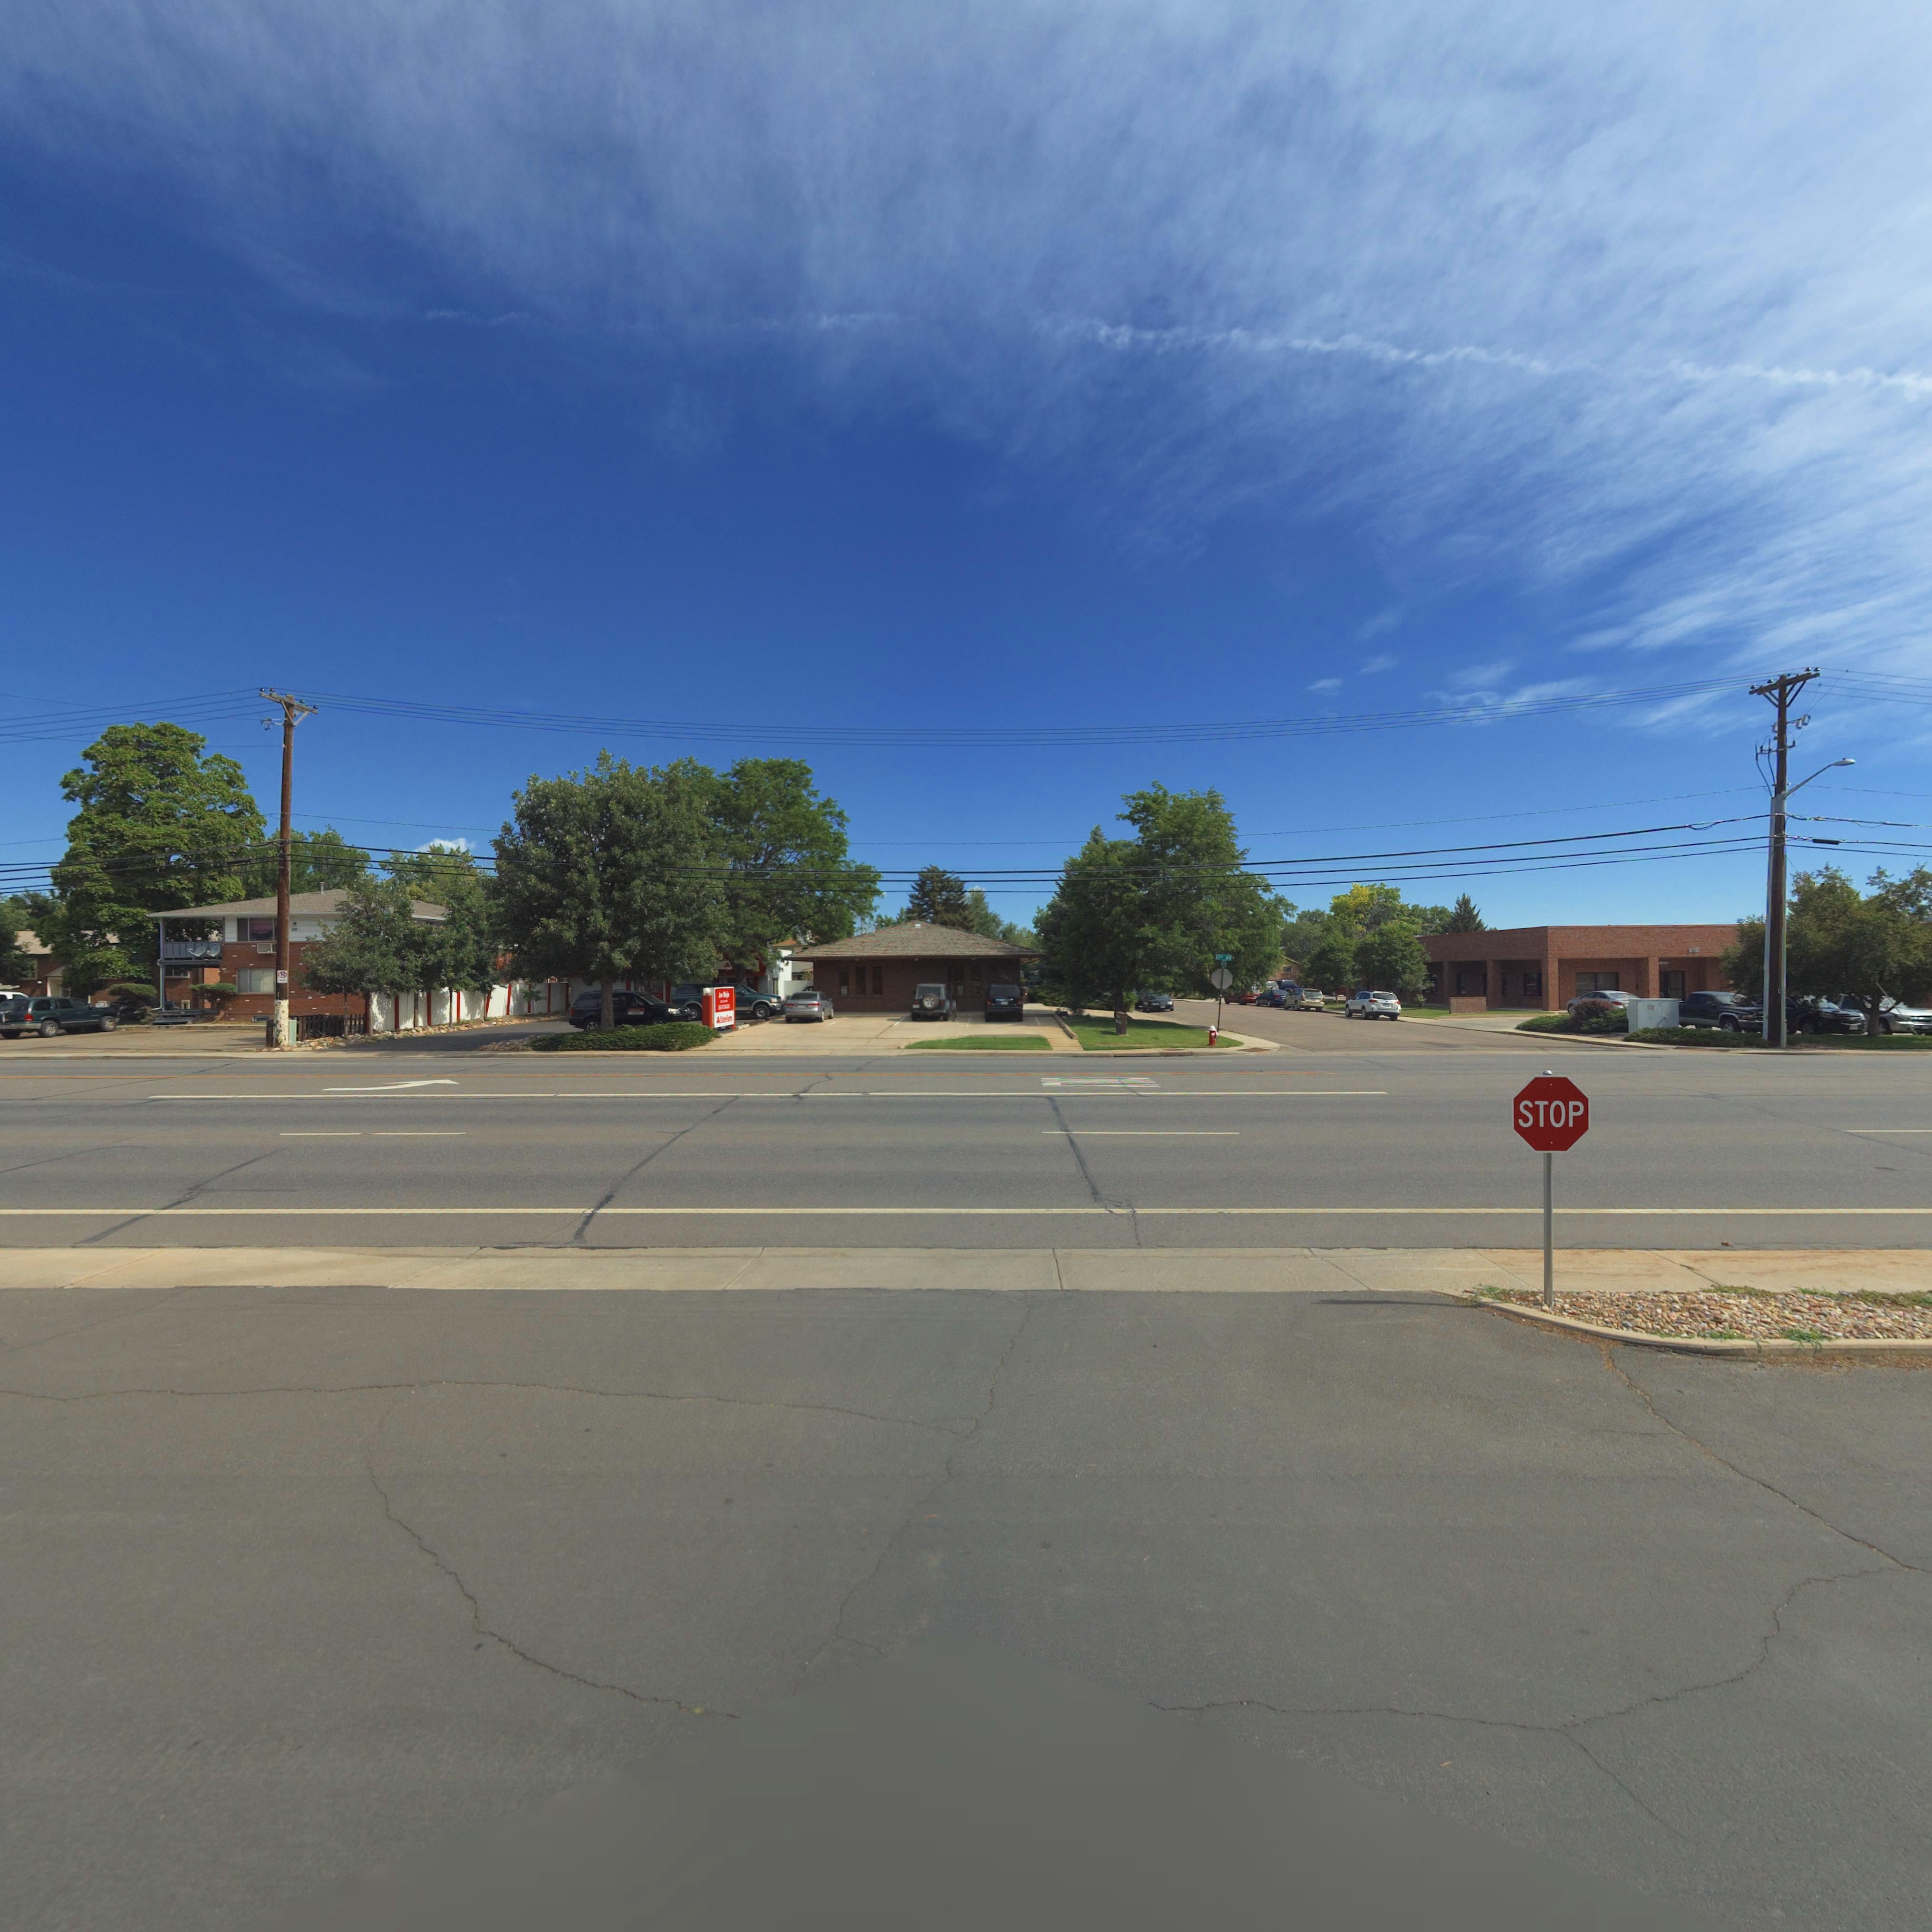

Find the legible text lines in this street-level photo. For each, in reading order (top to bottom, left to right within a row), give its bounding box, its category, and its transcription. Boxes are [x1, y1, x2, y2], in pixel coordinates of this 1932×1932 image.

[1688, 947, 1699, 953] StreetNumber: 91*
[1216, 954, 1232, 960] StreetName: 17TH AV
[719, 1014, 732, 1023] BusinessName: S*ate****